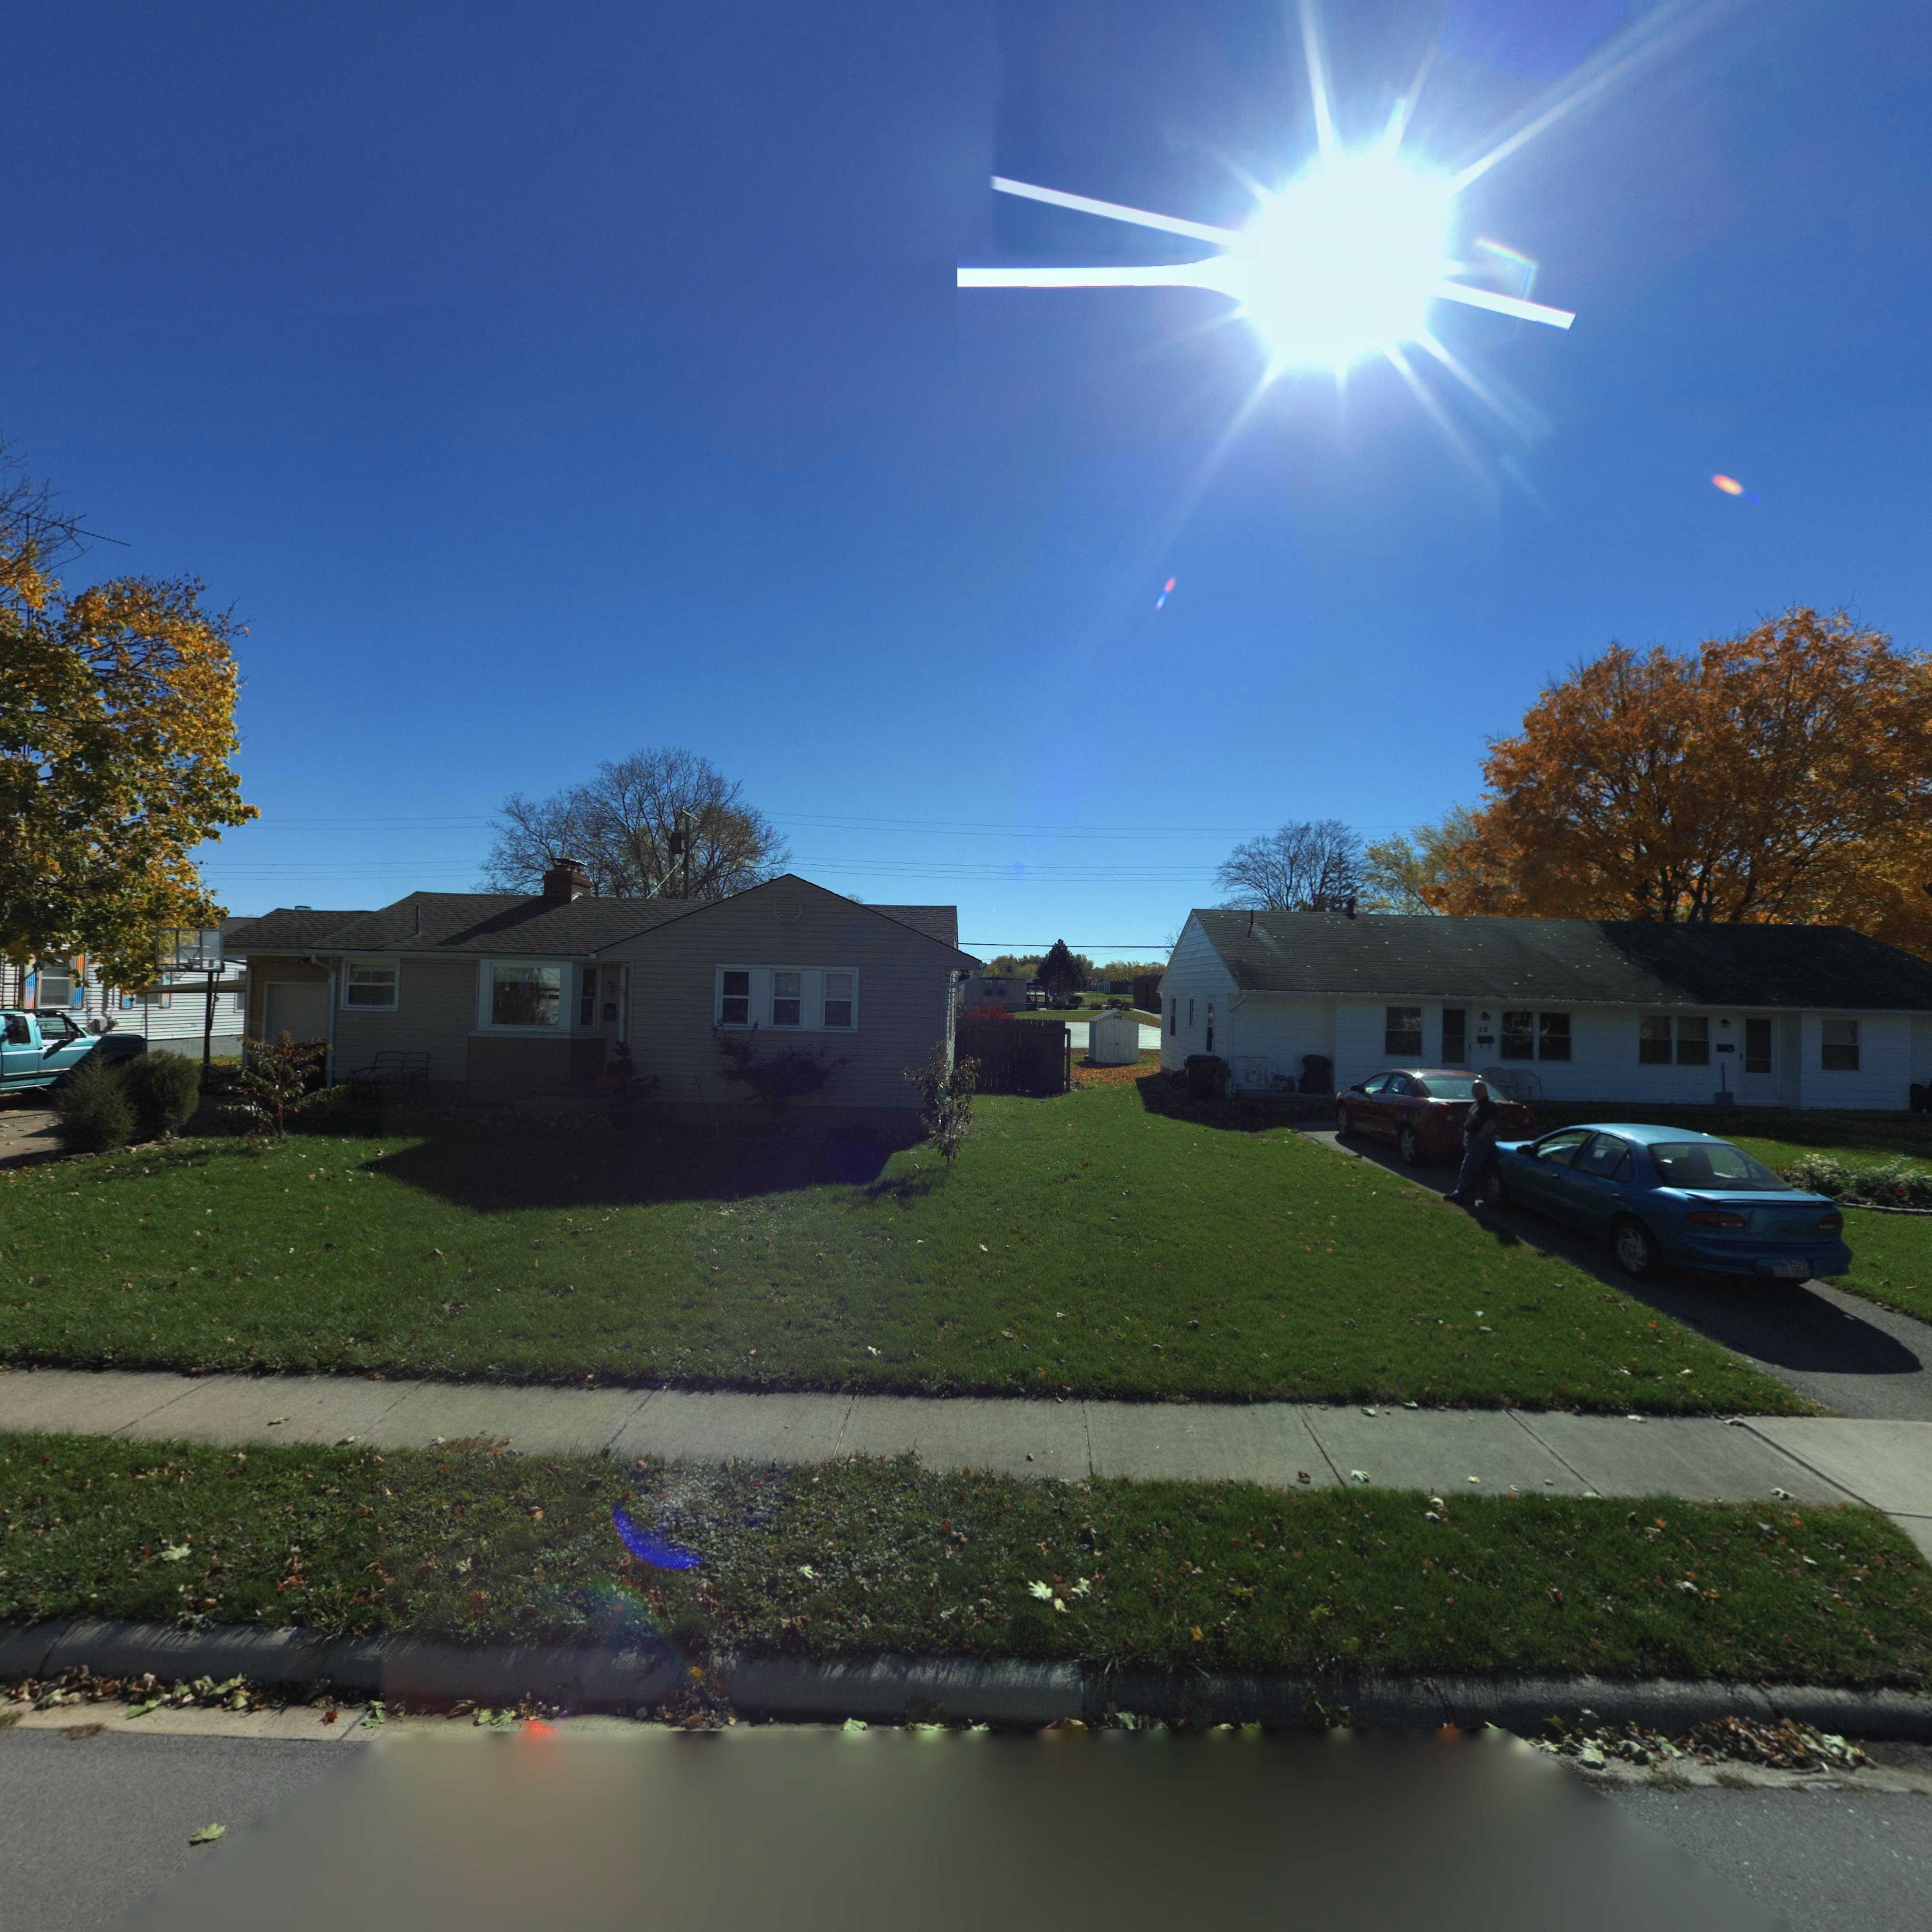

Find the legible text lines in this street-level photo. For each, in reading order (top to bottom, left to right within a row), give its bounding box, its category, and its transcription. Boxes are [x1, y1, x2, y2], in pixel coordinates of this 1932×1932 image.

[618, 984, 627, 997] StreetNumber: 2*
[1477, 1025, 1489, 1034] StreetNumber: 22